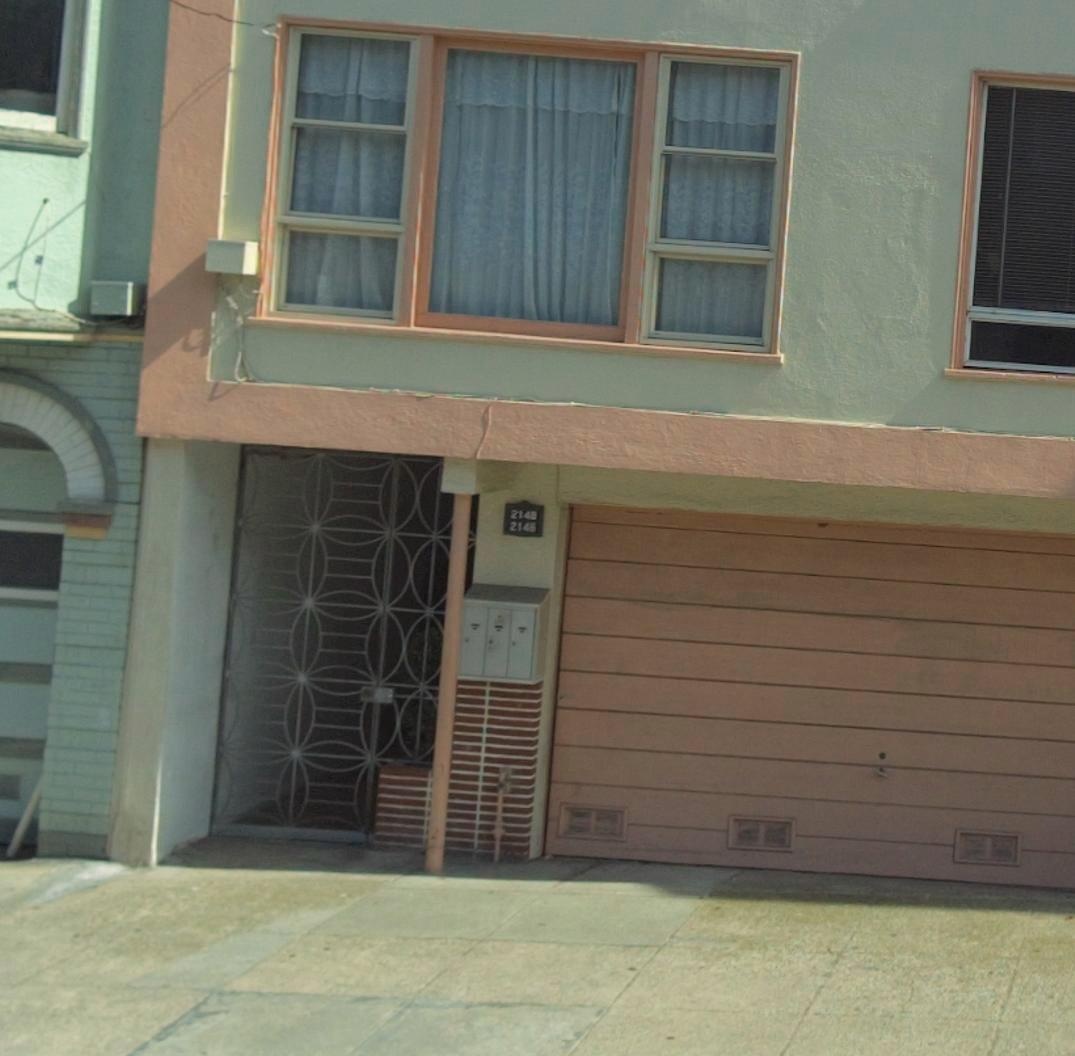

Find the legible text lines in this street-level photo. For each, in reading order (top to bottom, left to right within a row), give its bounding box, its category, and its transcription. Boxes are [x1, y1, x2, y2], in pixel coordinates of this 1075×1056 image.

[510, 508, 539, 522] StreetNumber: 2148
[508, 520, 538, 535] StreetNumber: 2146